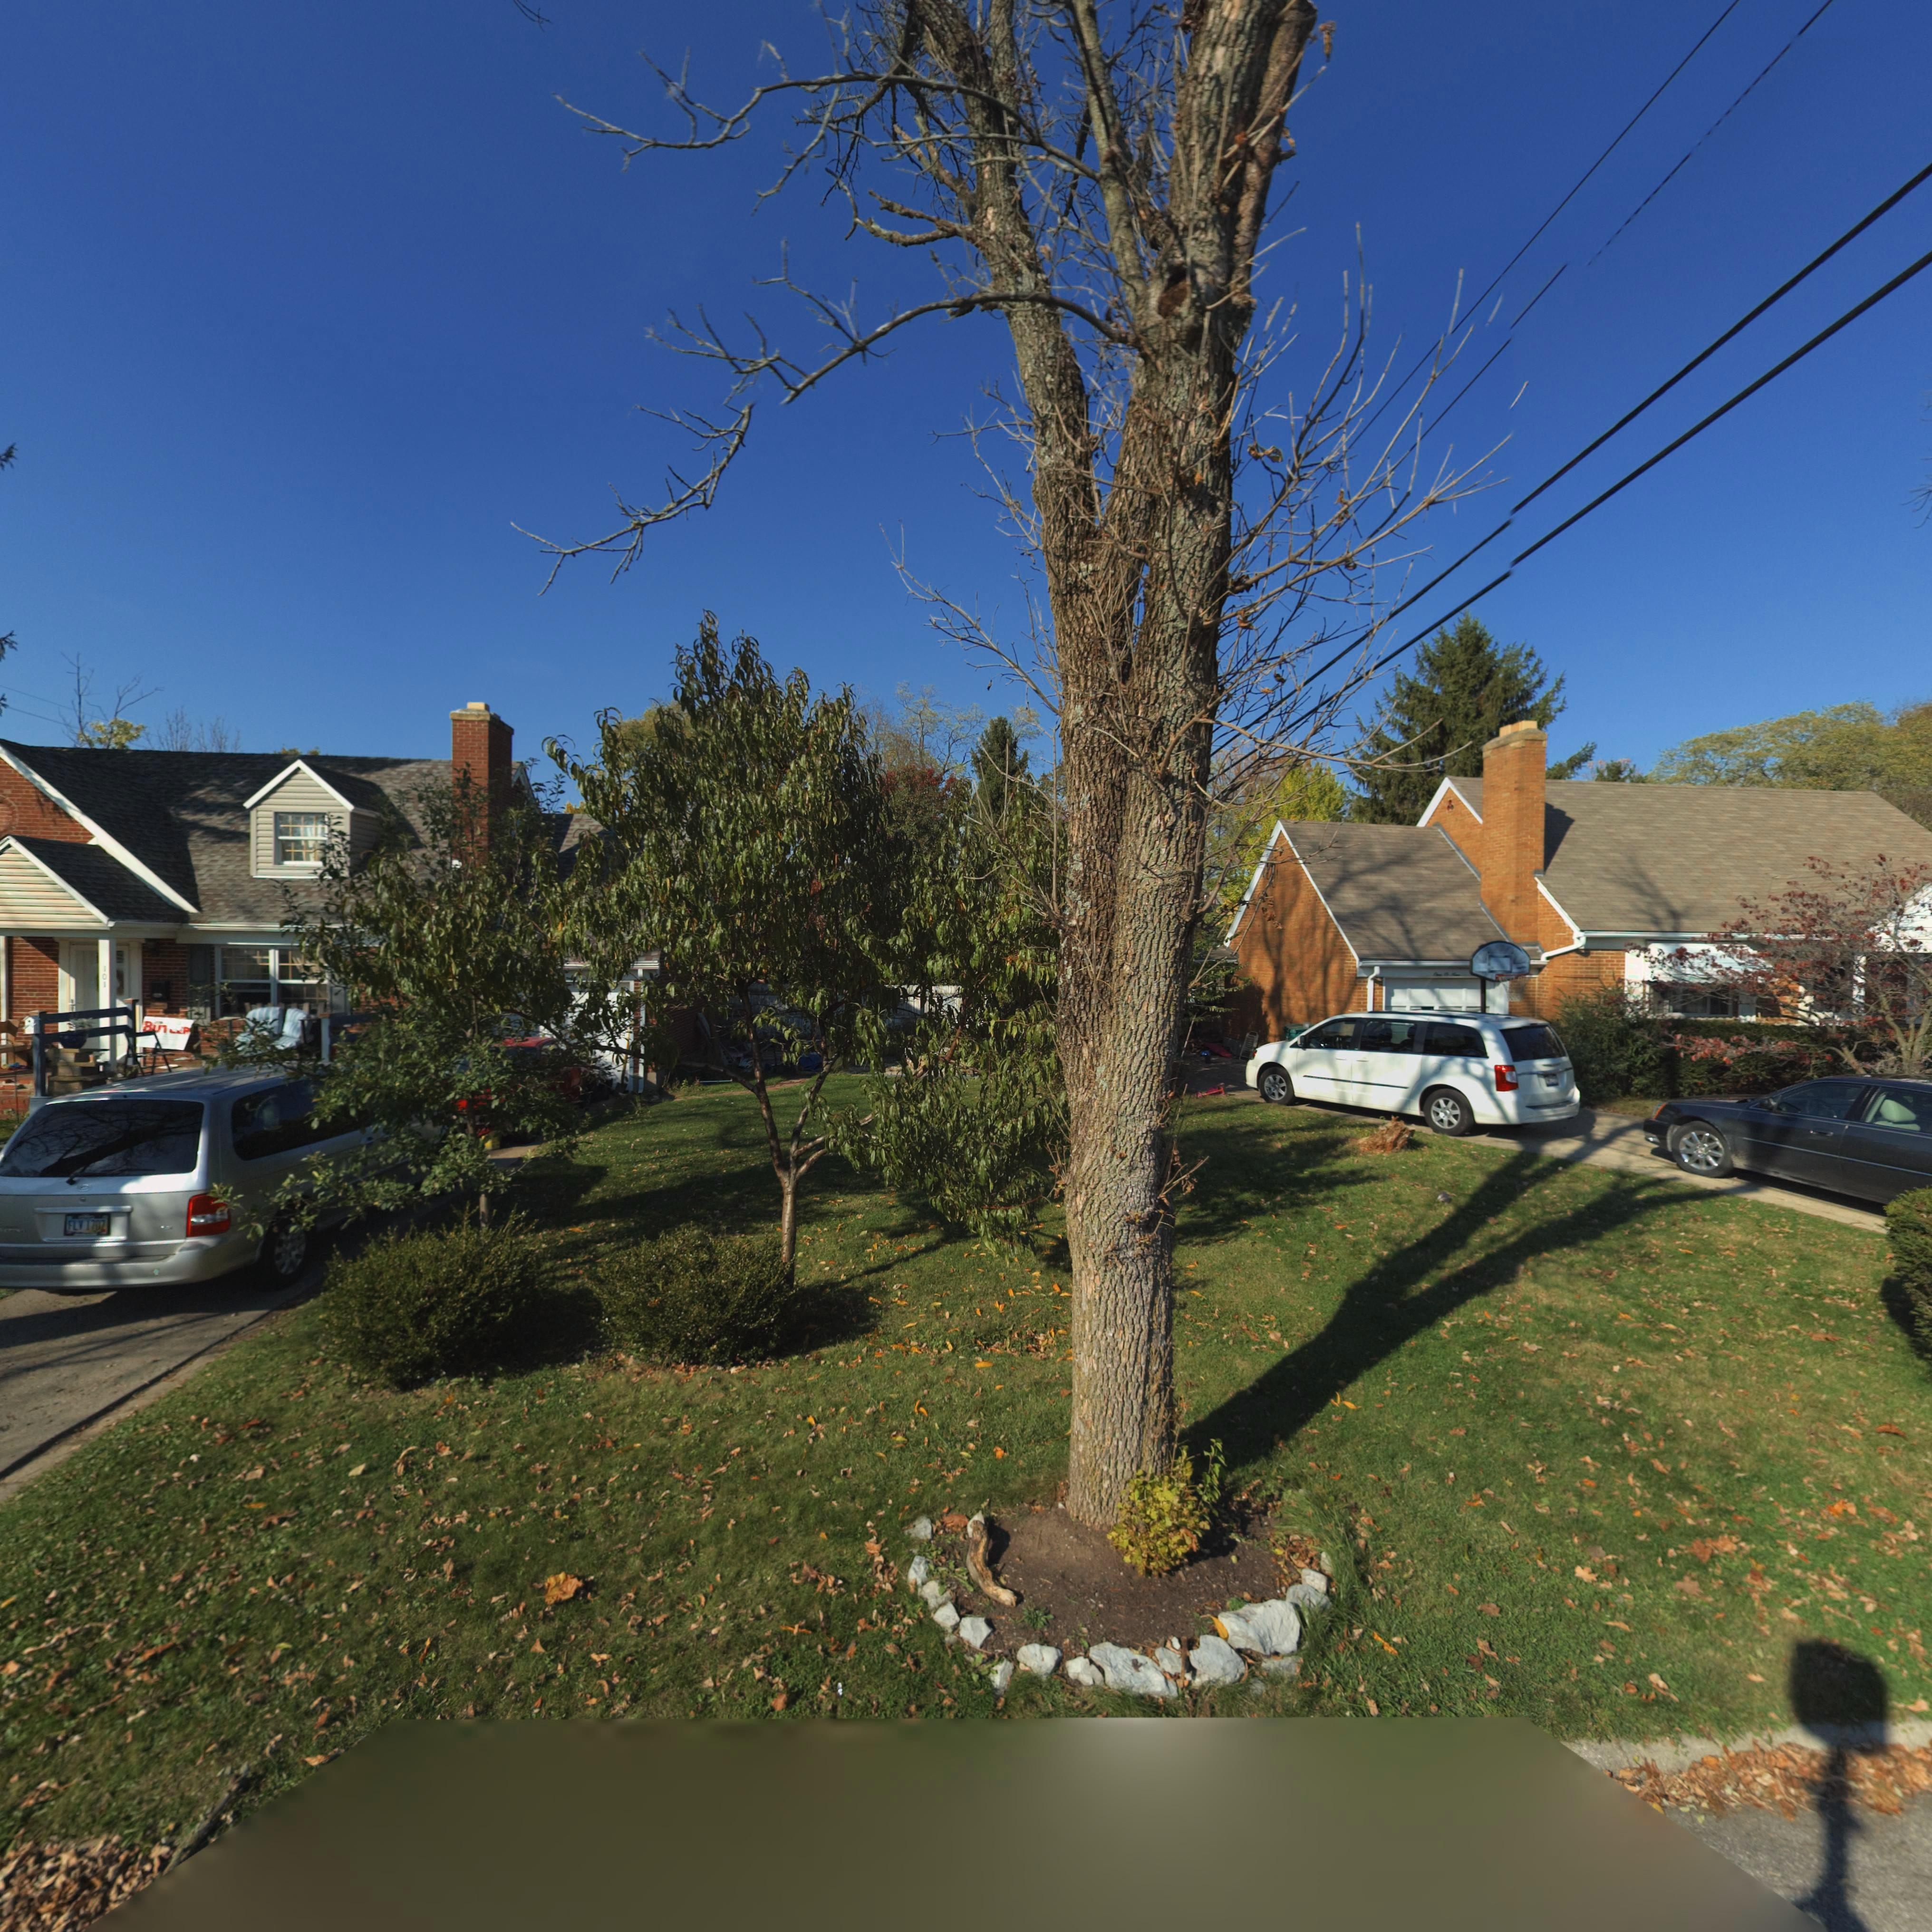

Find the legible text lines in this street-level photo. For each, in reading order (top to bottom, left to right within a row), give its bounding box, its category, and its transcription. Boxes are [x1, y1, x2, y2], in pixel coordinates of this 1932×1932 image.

[101, 965, 108, 988] StreetNumber: 101